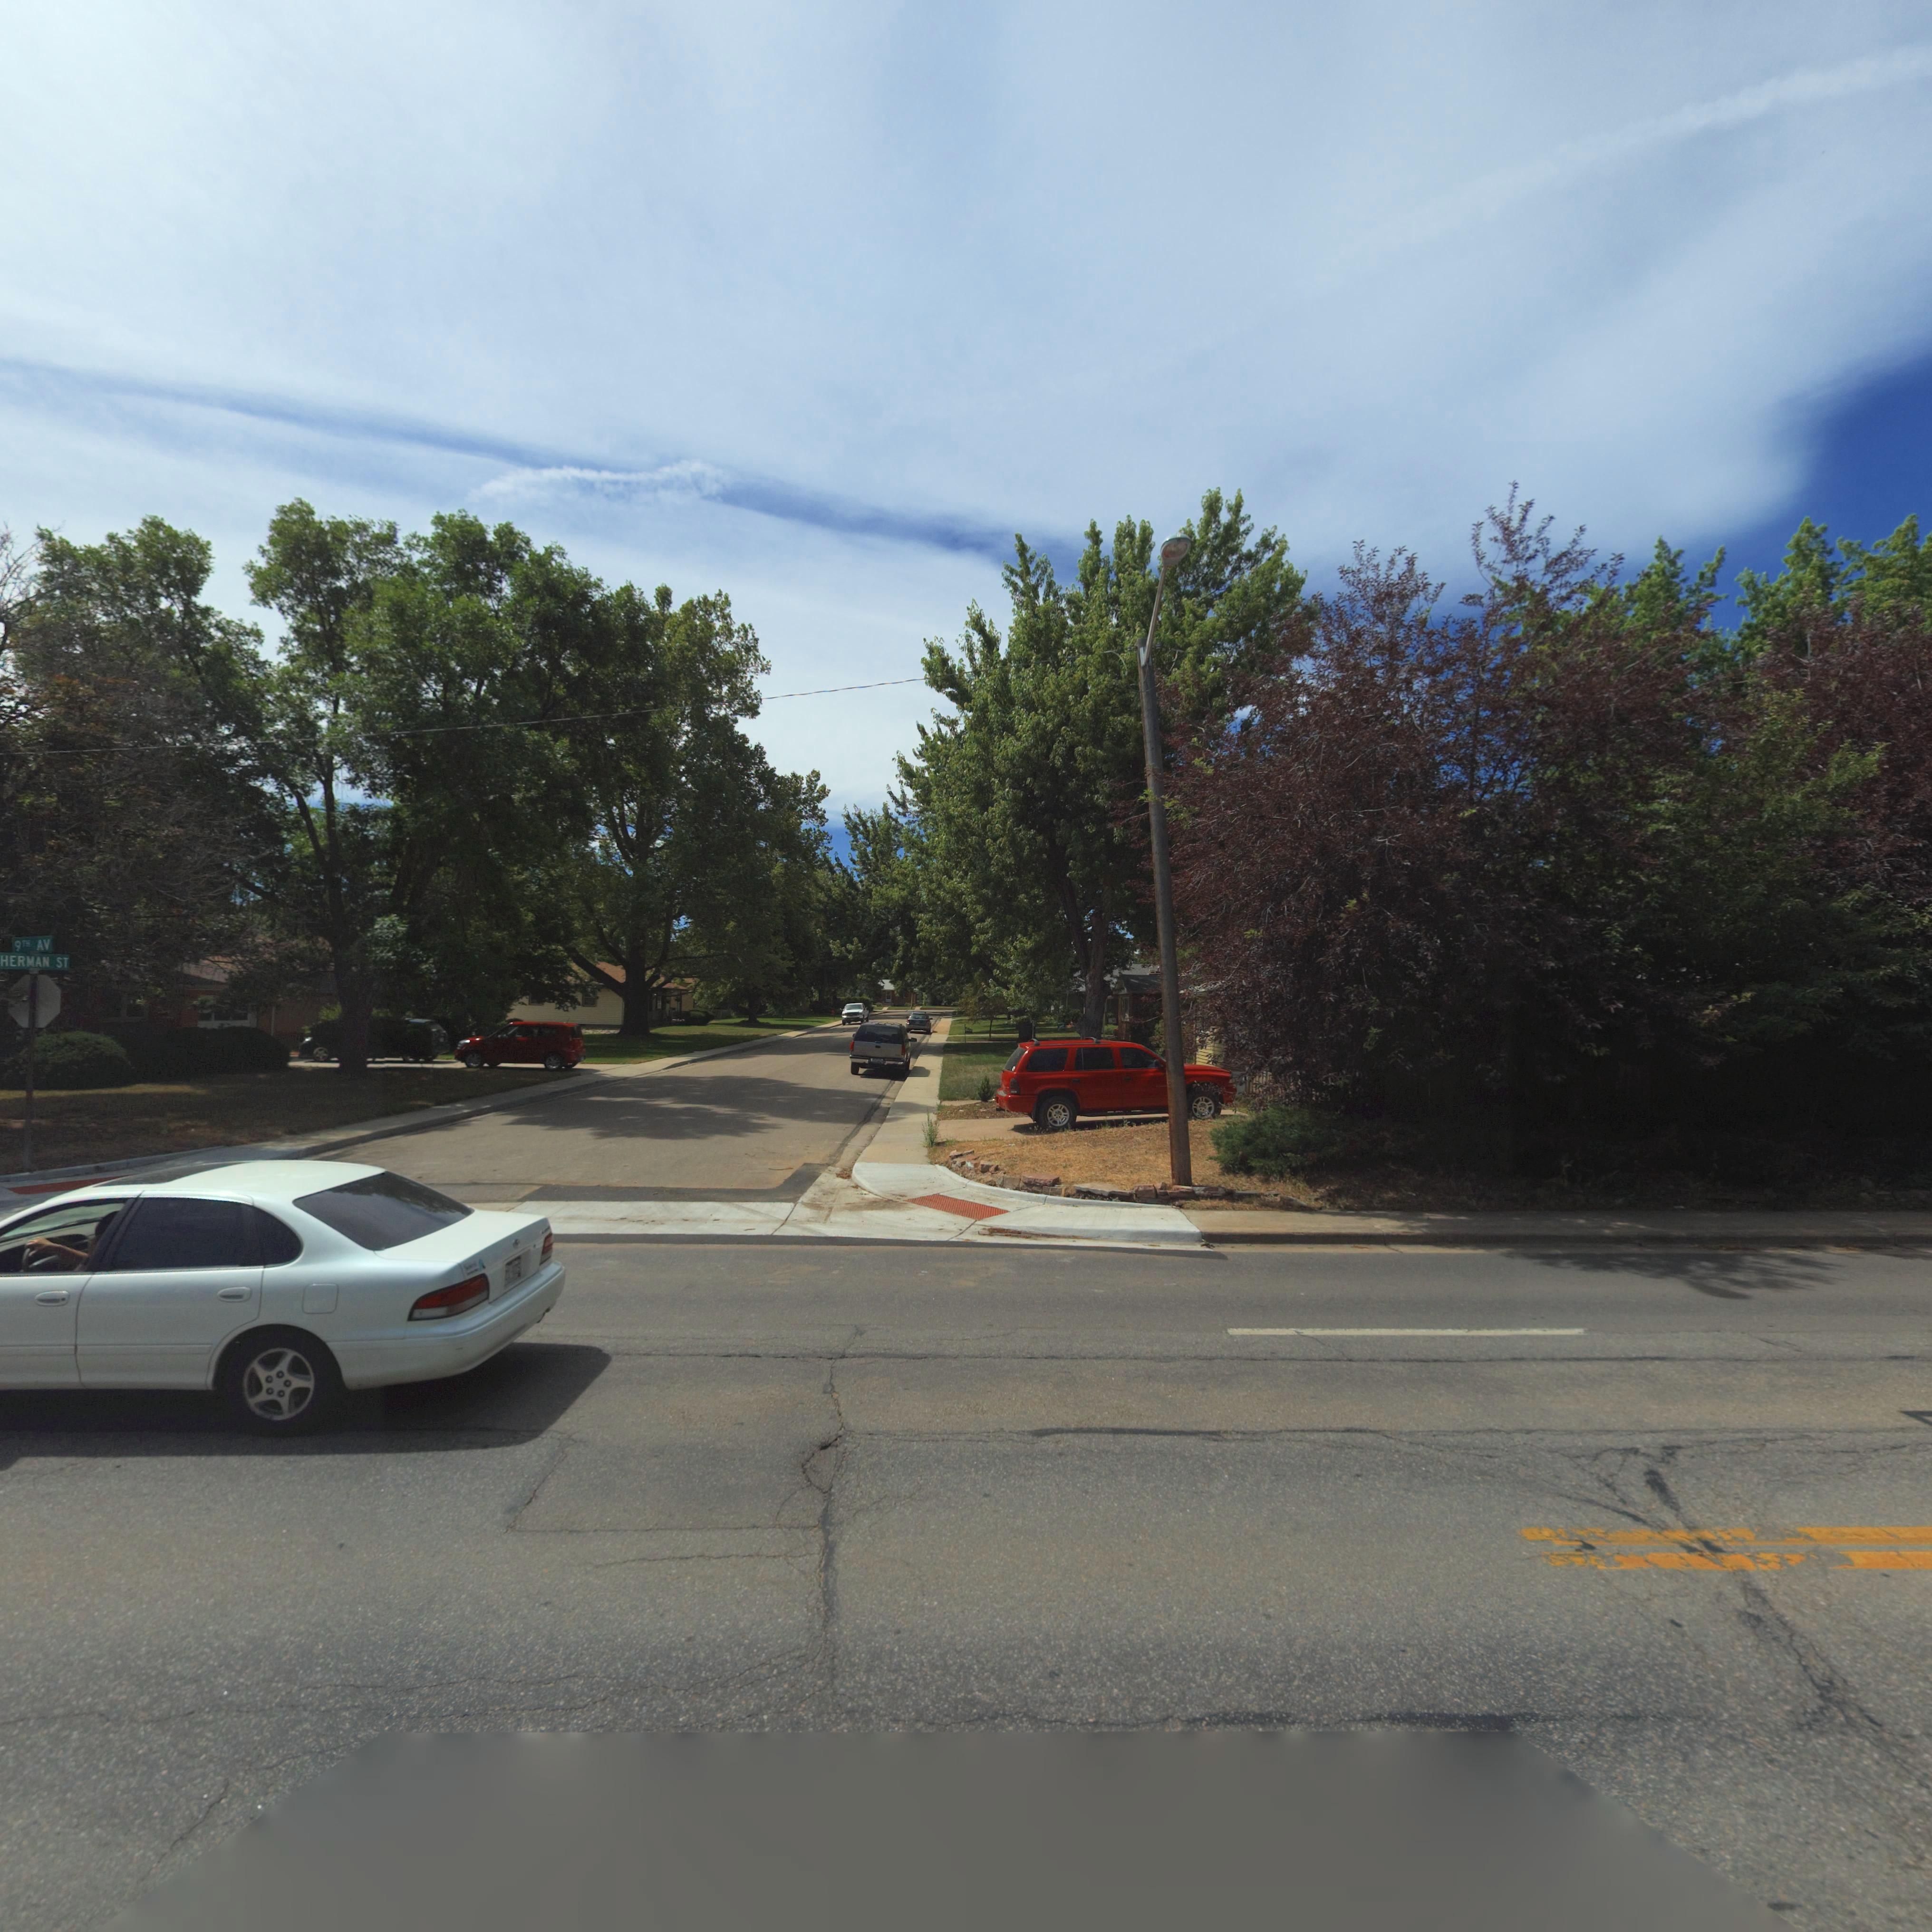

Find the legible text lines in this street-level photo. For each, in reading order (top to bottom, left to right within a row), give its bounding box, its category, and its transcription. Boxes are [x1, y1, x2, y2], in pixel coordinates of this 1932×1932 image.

[14, 938, 50, 951] StreetName: 9TH AV
[0, 954, 69, 968] StreetName: HERMAN ST